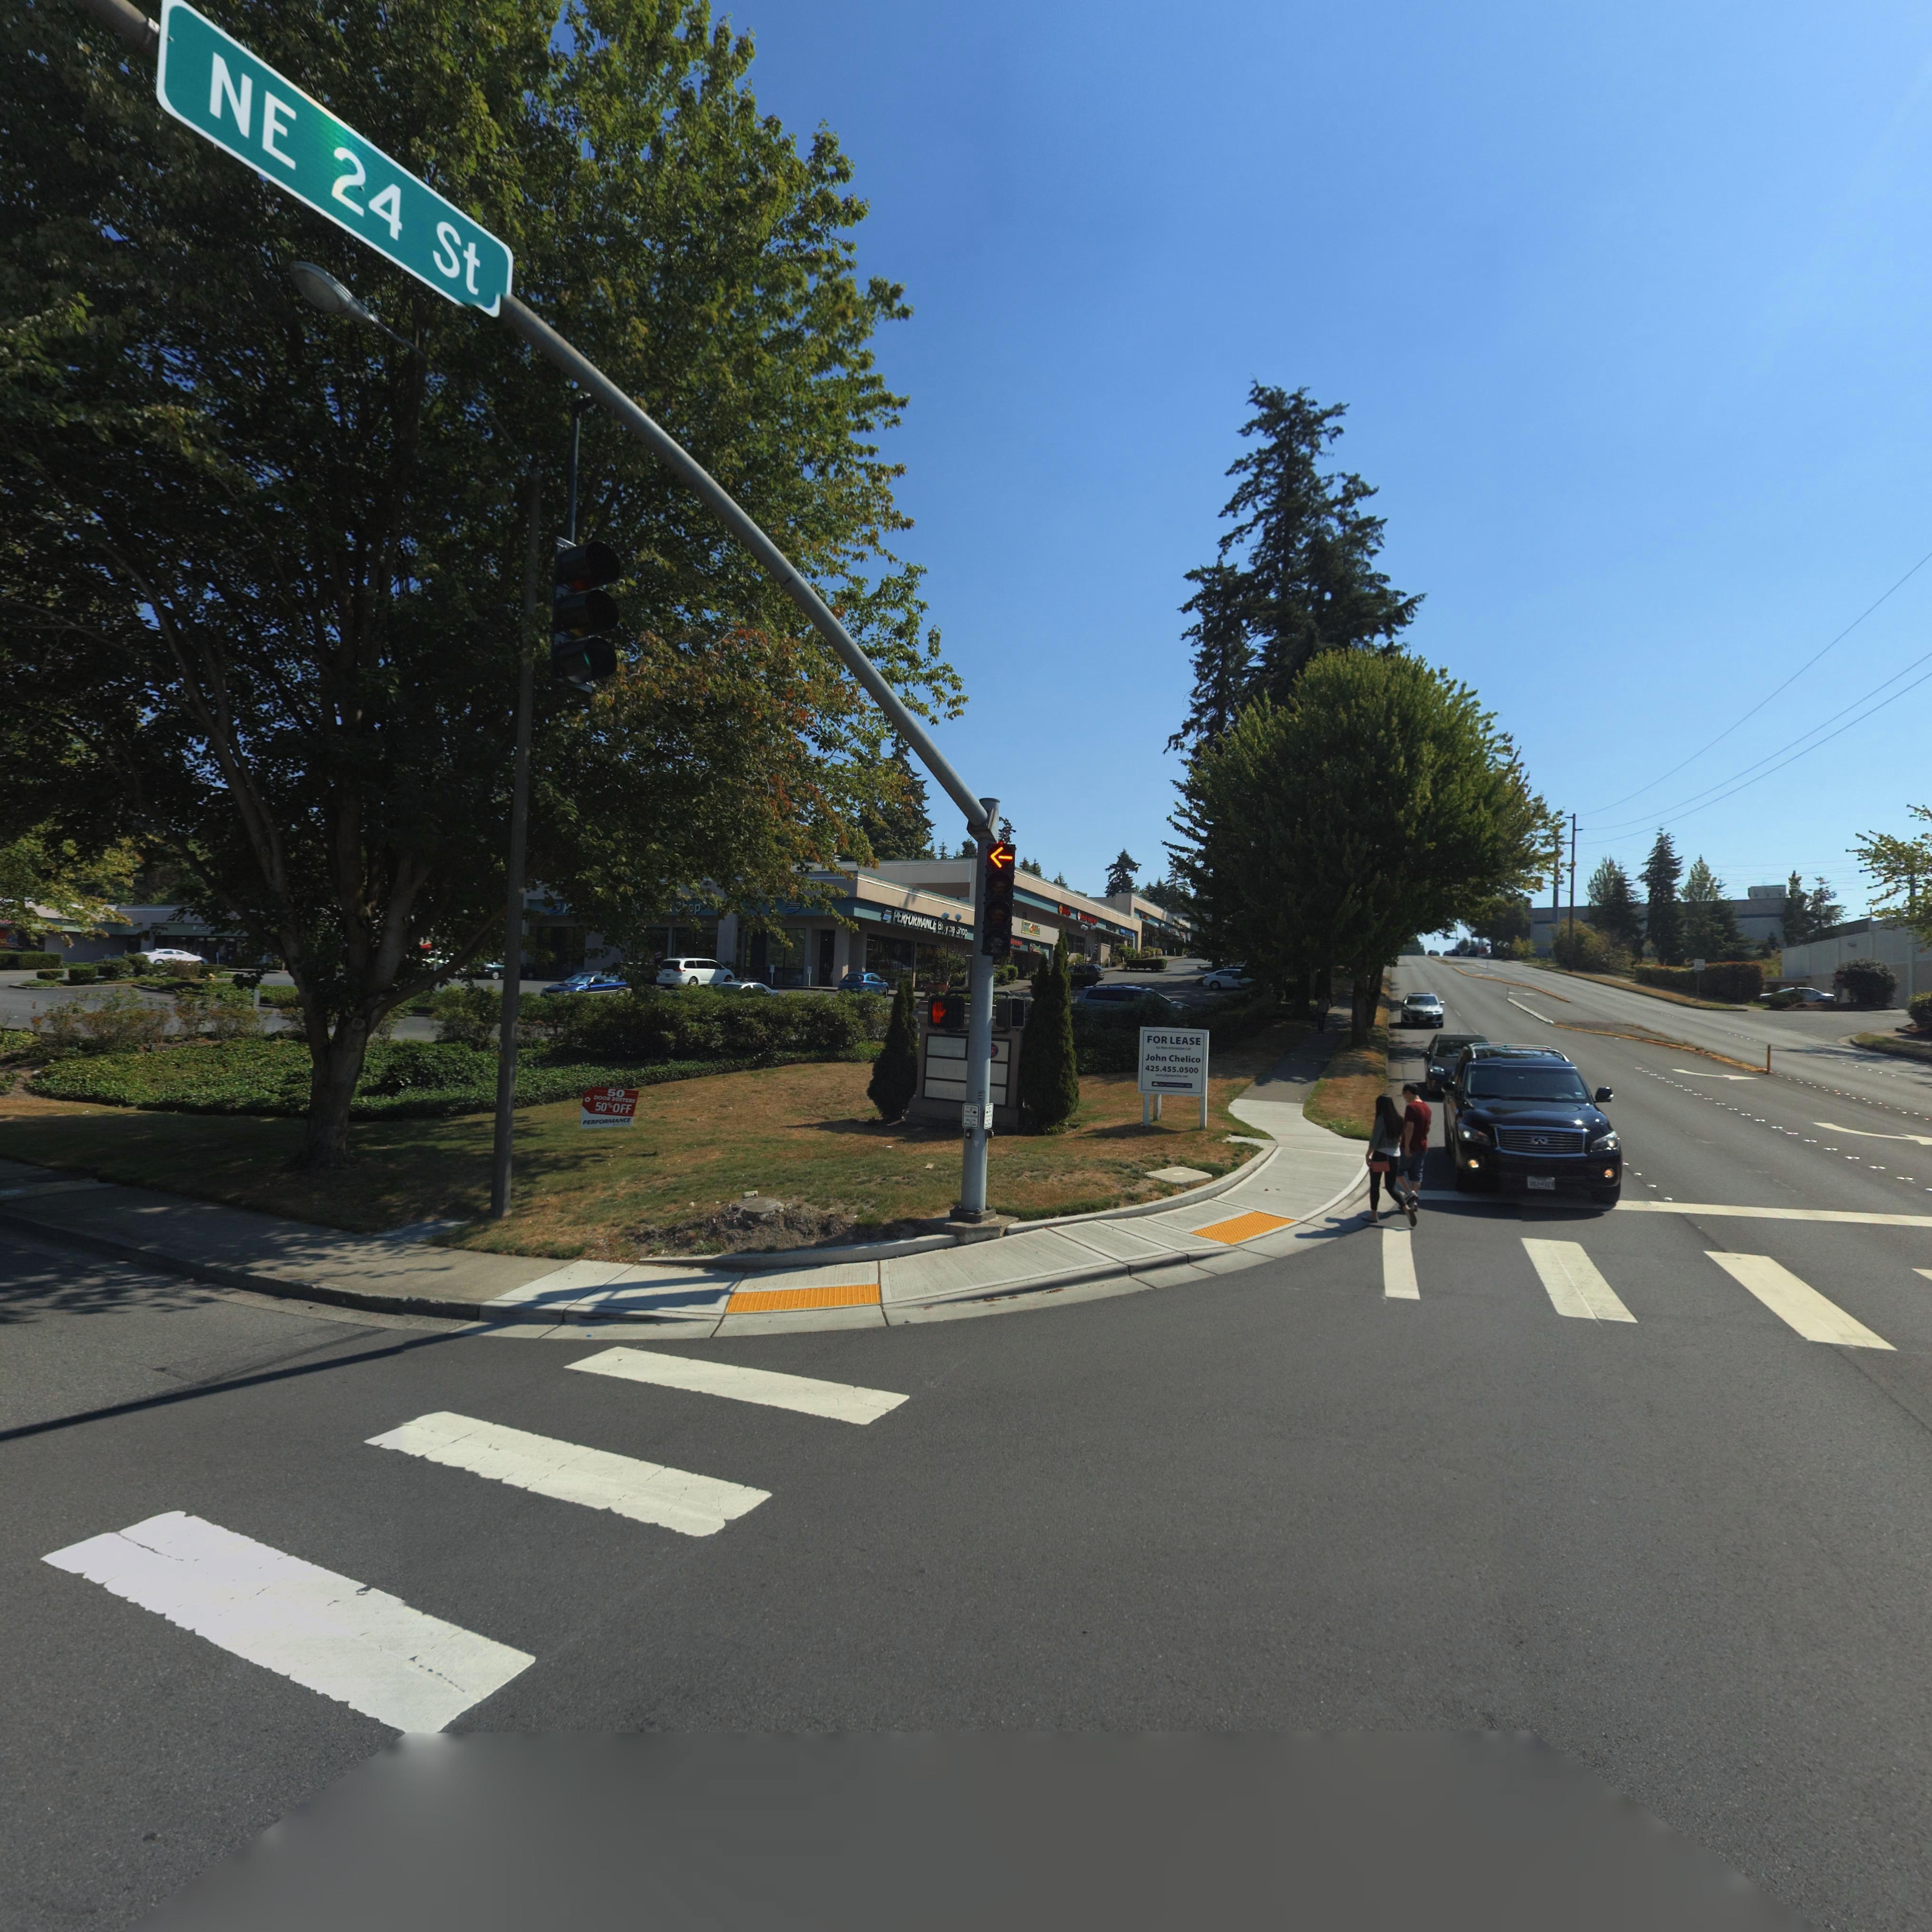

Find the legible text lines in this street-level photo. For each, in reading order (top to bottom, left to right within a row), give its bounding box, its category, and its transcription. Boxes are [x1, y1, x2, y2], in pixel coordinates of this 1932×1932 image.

[206, 50, 484, 298] StreetName: NE 24 St
[892, 908, 937, 931] BusinessName: PERORMANCE
[937, 920, 942, 930] BusinessName: B